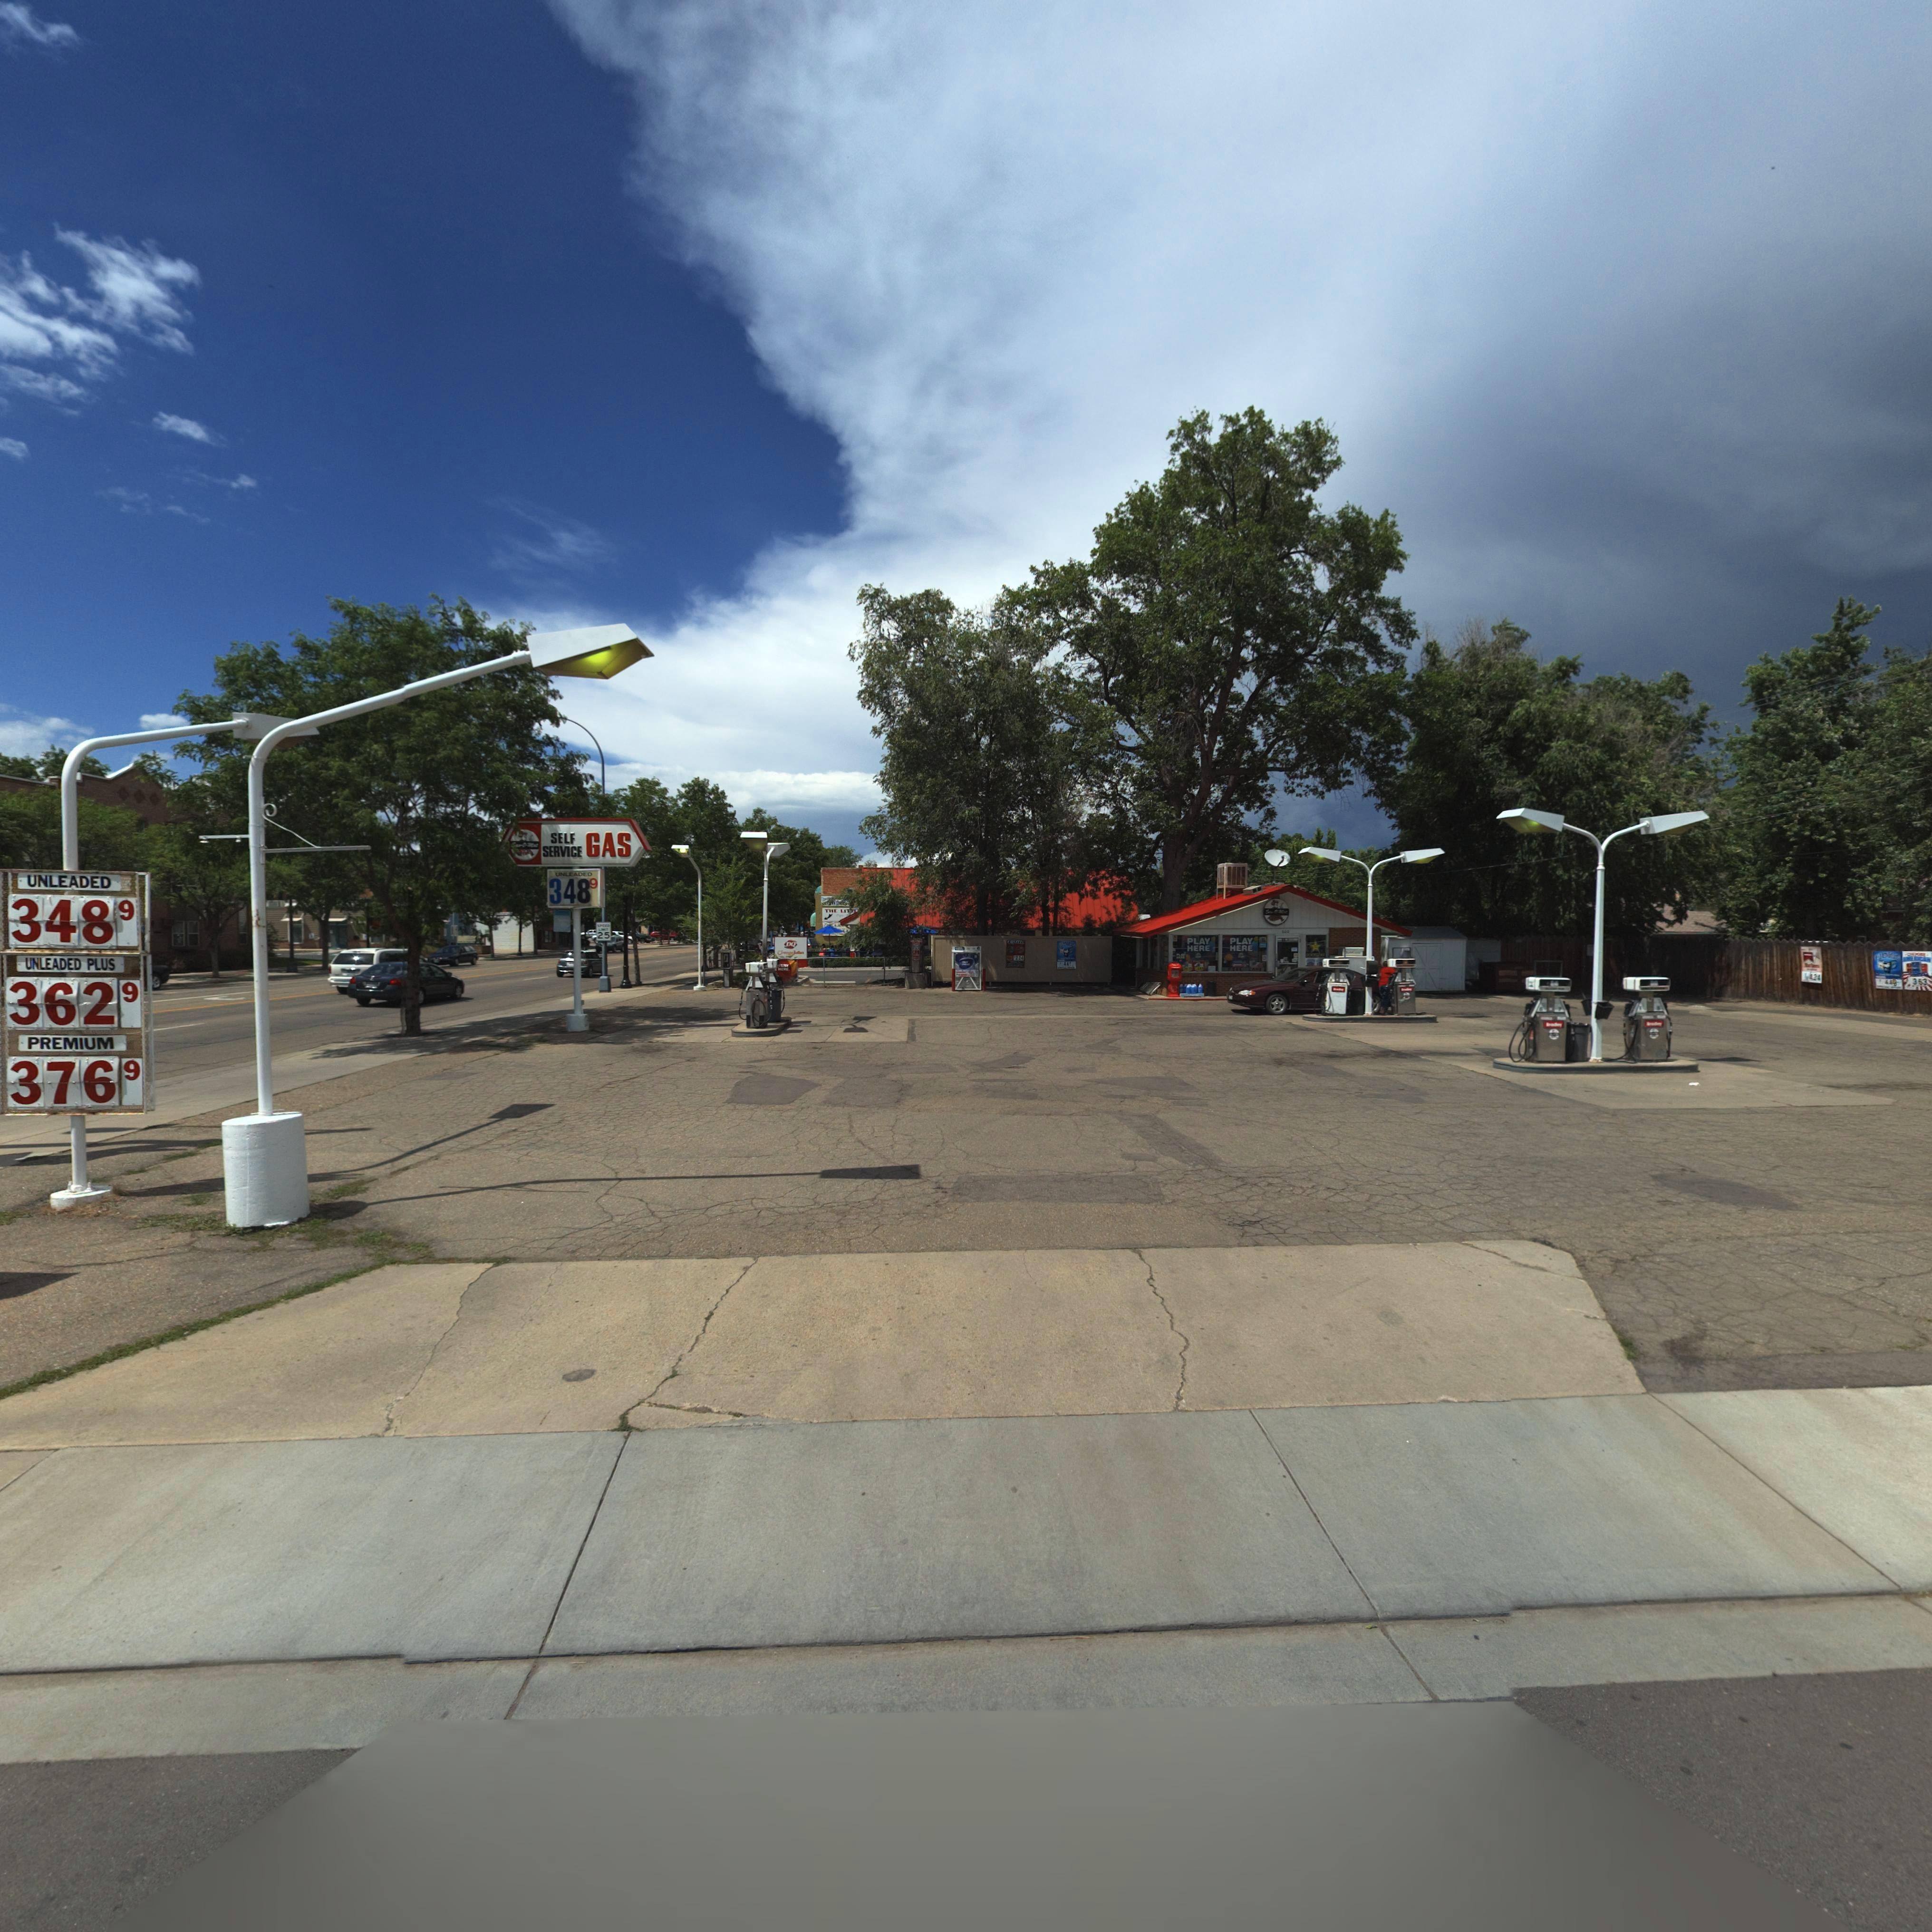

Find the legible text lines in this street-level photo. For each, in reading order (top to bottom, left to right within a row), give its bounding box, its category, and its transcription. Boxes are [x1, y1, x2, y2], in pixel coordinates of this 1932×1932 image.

[510, 841, 539, 848] BusinessName: S**-O-M*t
[825, 909, 856, 913] BusinessName: THE LI***
[1265, 908, 1287, 914] BusinessName: S**-O-M**
[1282, 929, 1289, 933] StreetNumber: **0
[785, 941, 796, 948] BusinessName: DQ
[777, 949, 804, 956] BusinessName: O***ge J****s